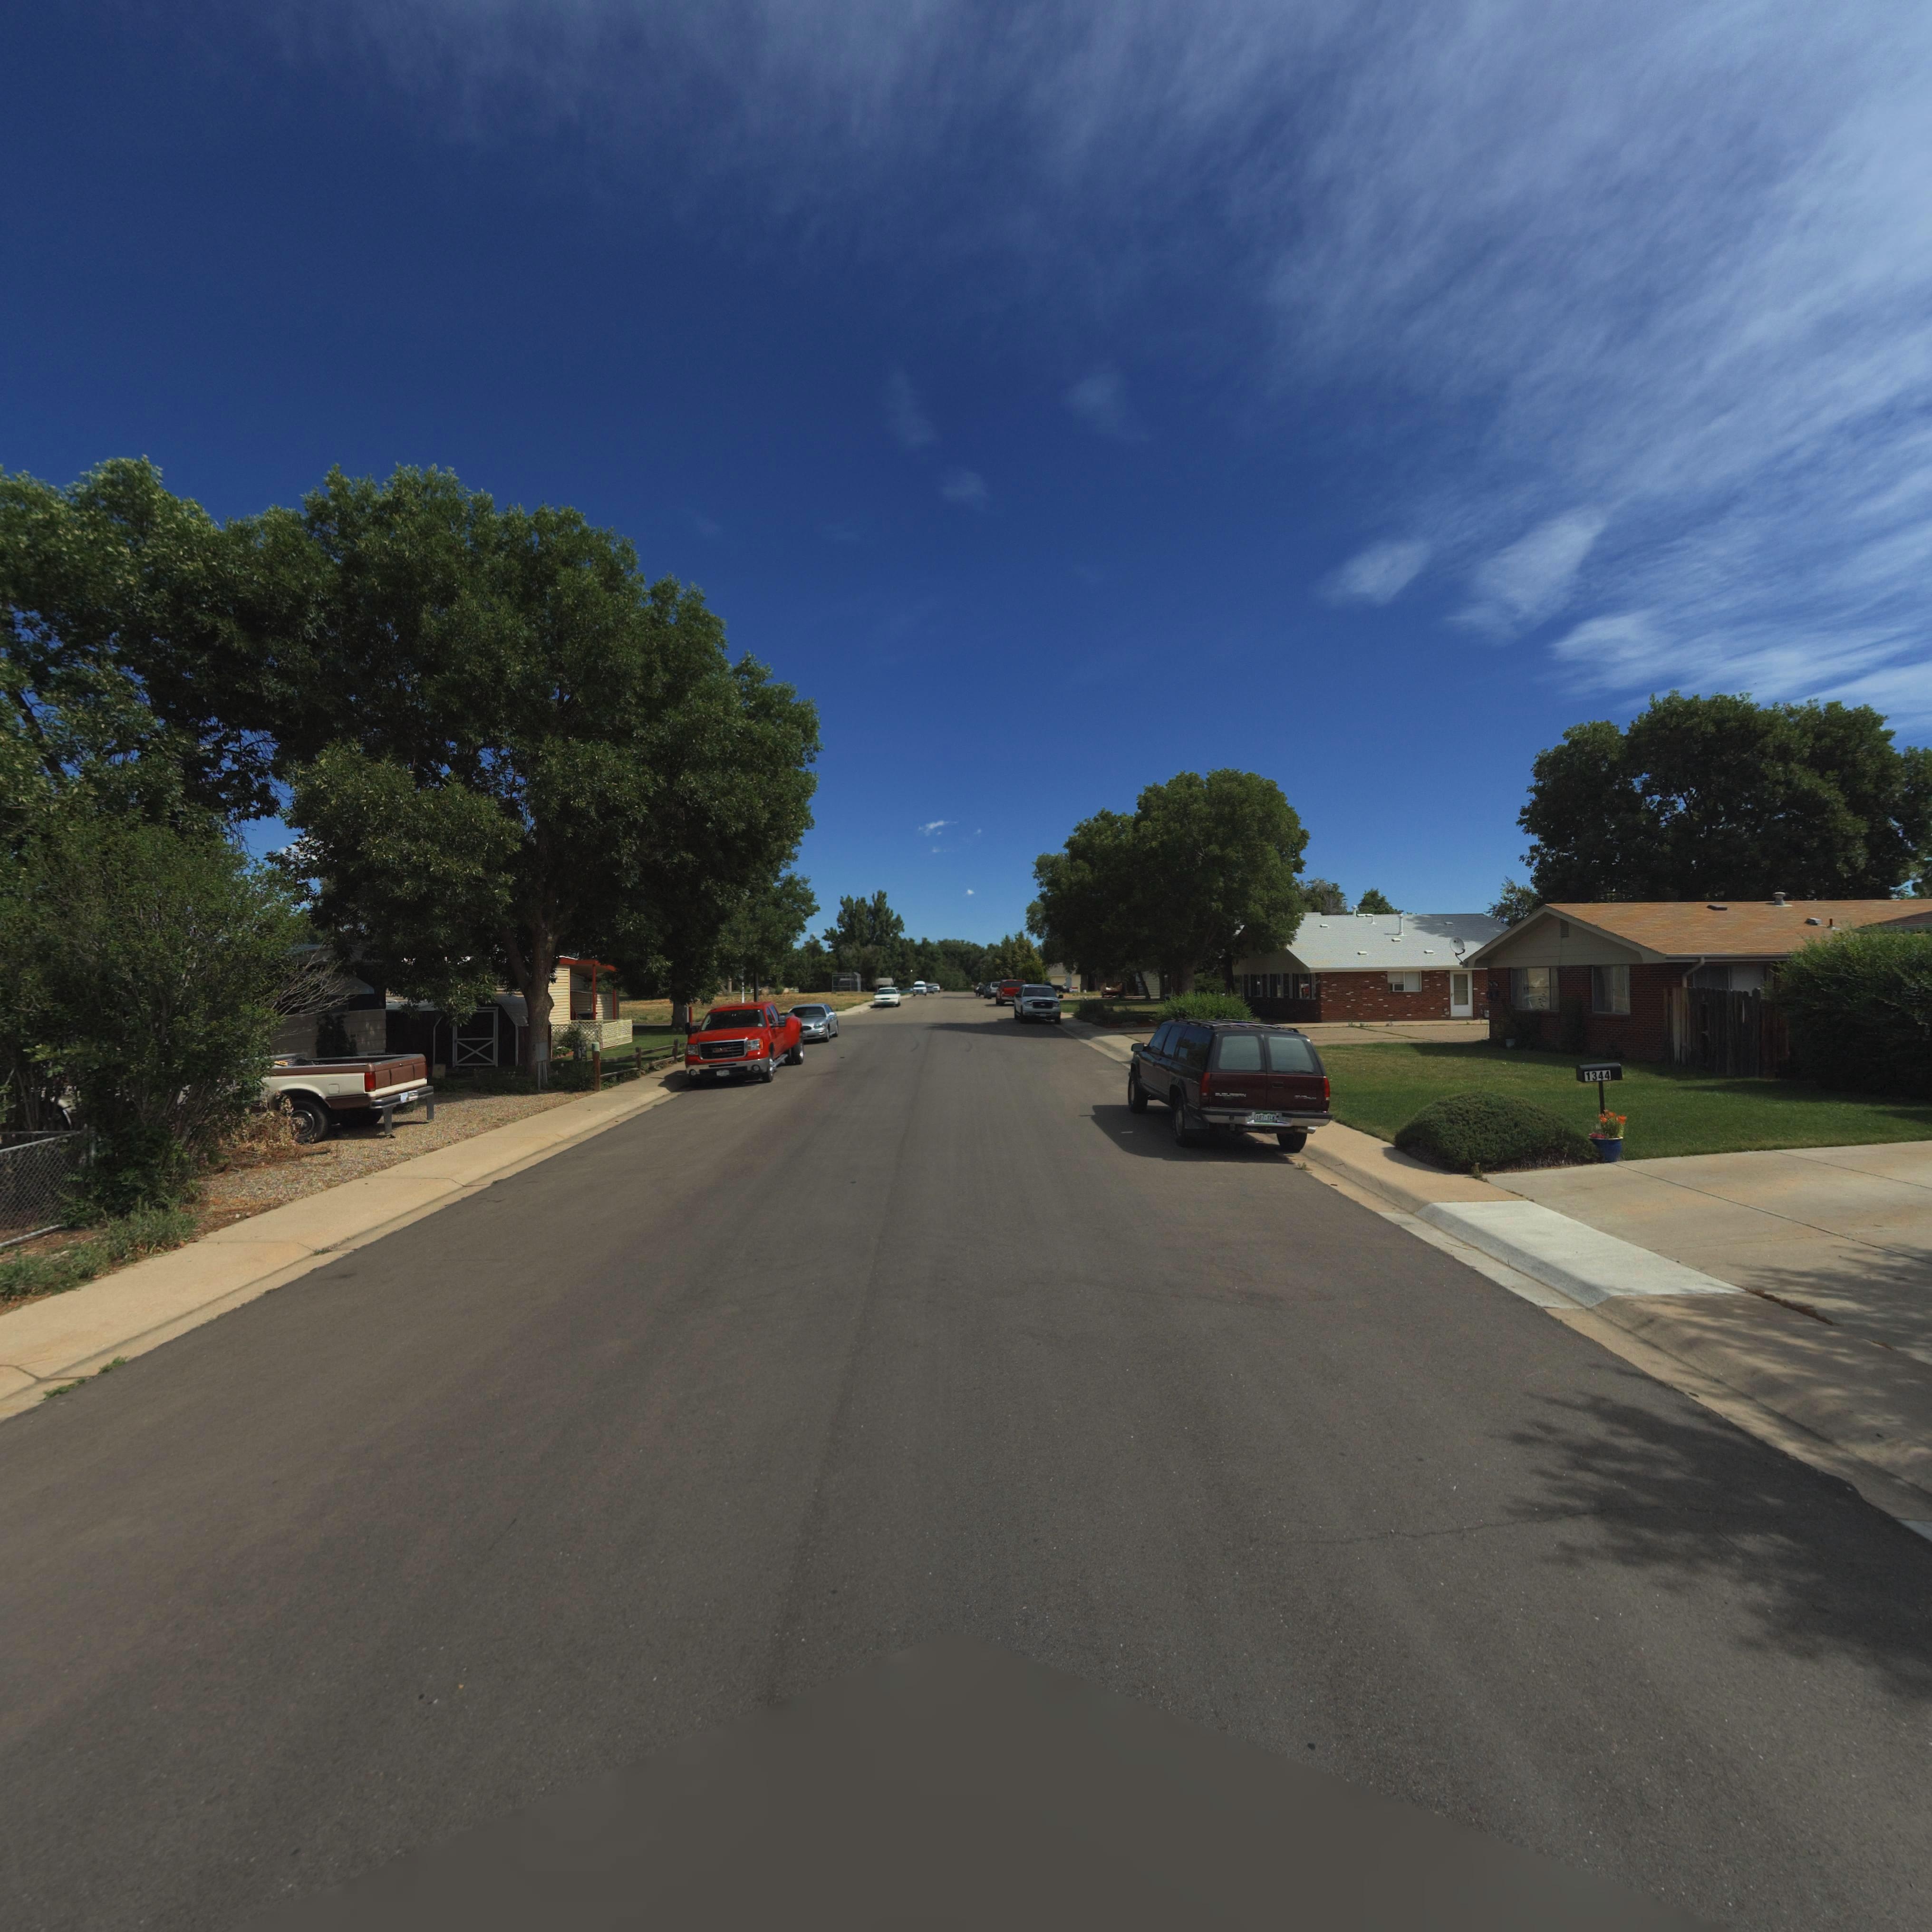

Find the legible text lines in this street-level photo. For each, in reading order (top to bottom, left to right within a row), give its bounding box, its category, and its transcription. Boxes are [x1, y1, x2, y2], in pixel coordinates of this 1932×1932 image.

[1585, 1070, 1611, 1082] StreetNumber: 1344